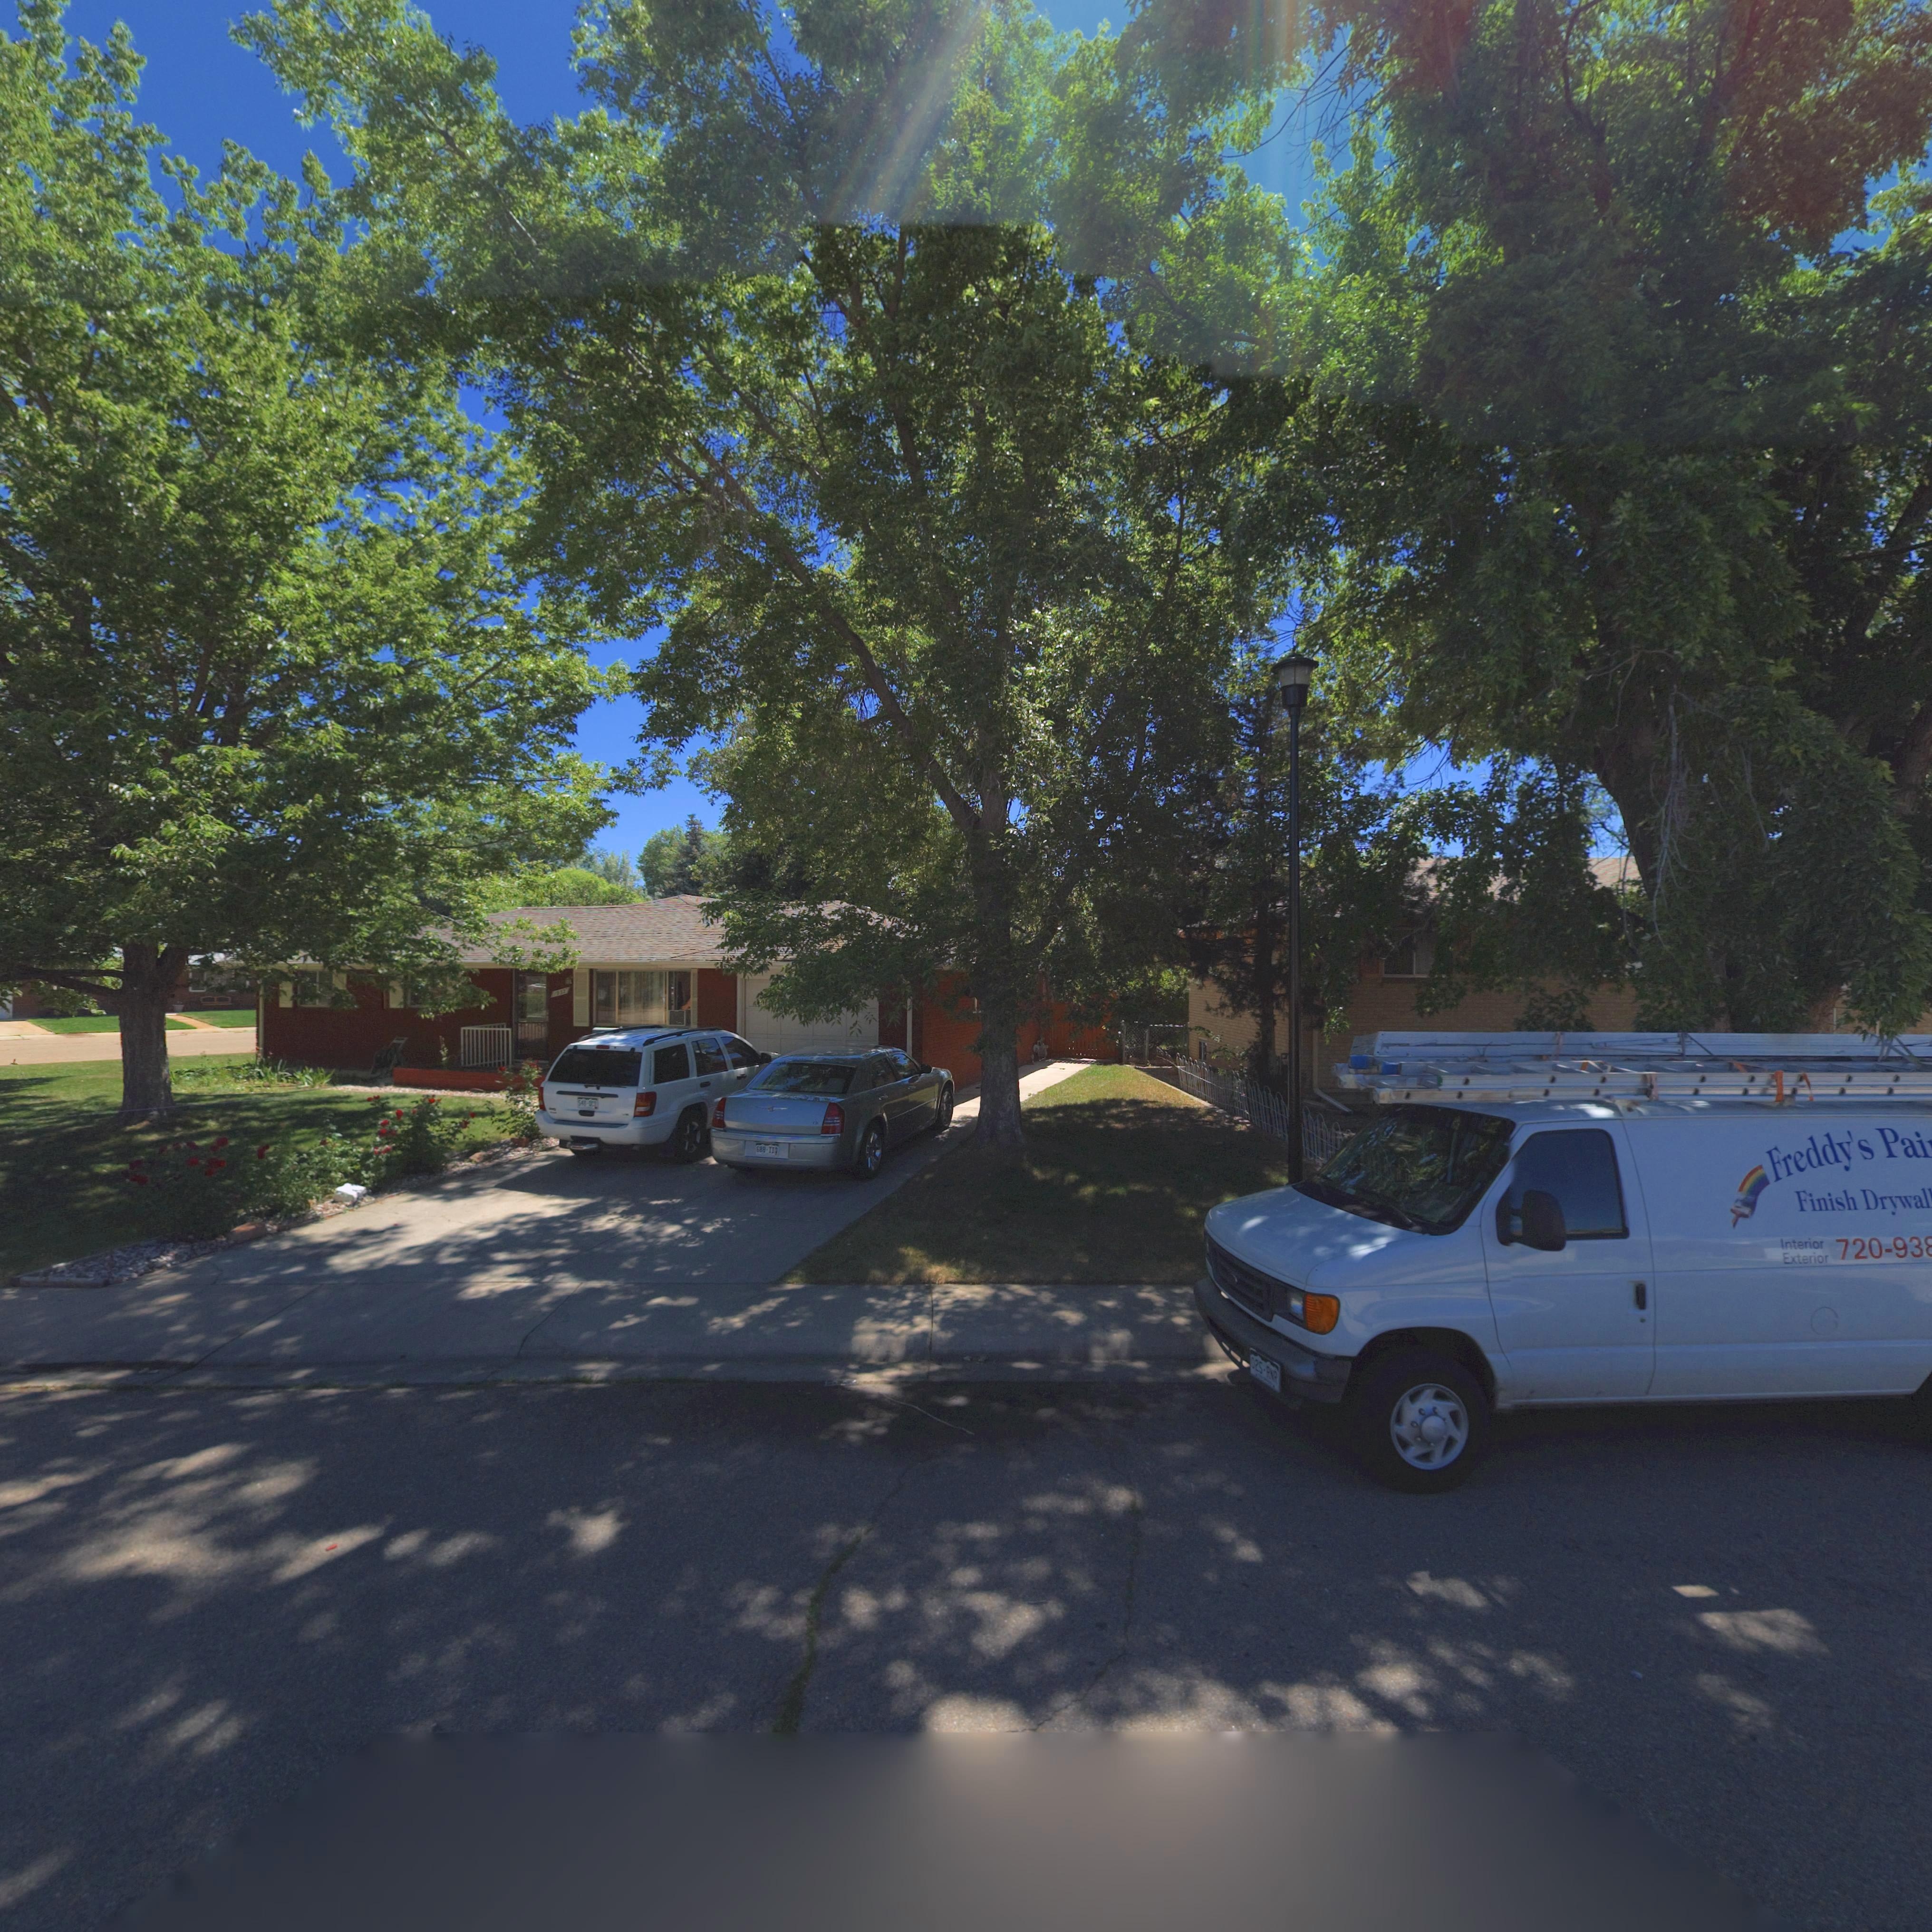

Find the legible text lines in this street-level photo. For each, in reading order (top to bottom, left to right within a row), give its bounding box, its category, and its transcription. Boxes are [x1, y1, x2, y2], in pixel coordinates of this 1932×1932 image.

[552, 988, 566, 996] StreetNumber: 1932